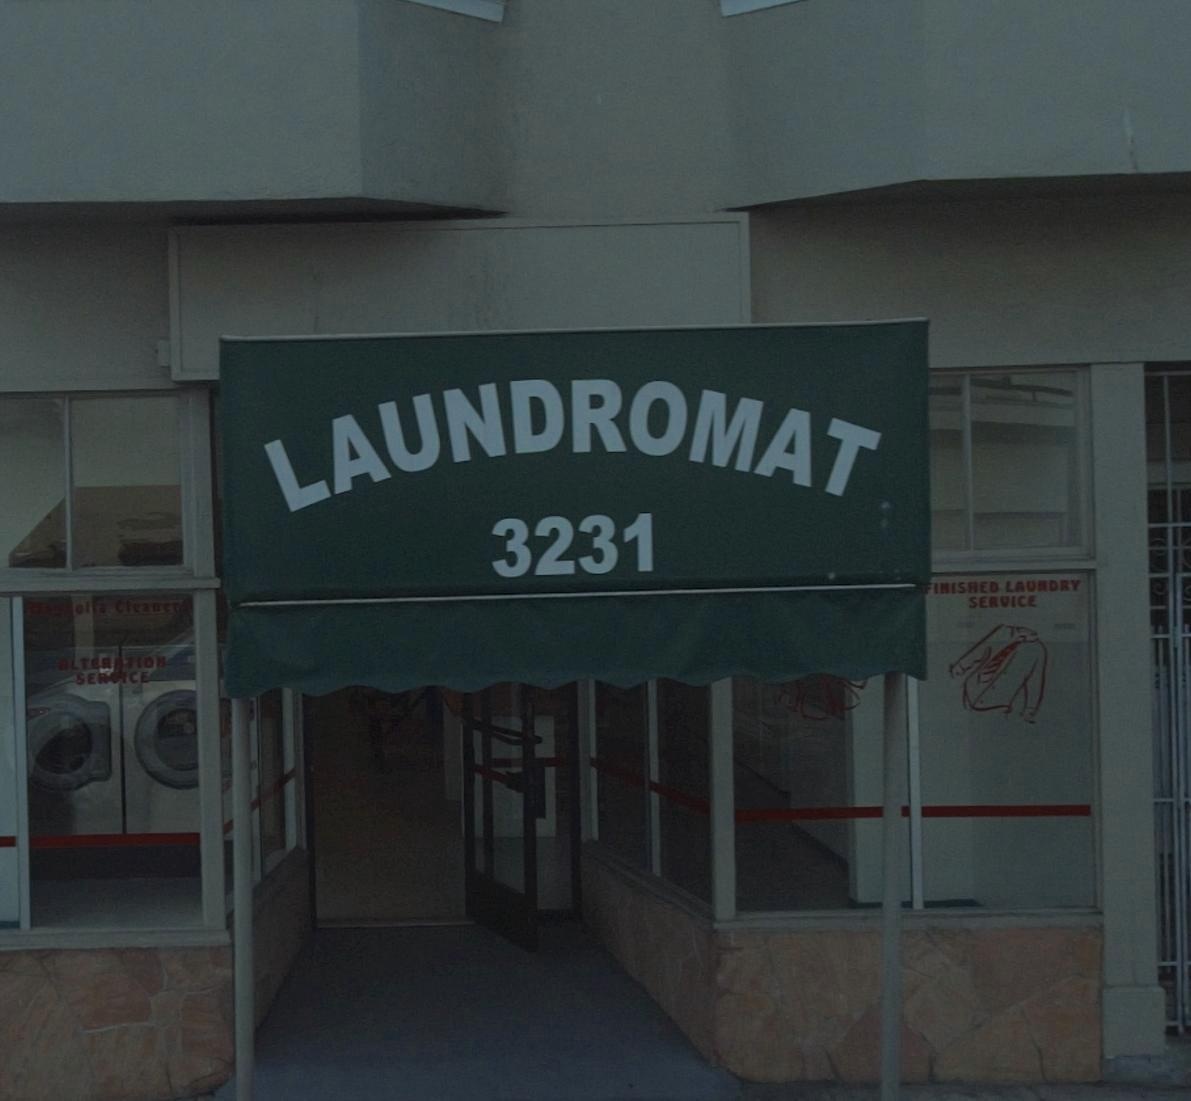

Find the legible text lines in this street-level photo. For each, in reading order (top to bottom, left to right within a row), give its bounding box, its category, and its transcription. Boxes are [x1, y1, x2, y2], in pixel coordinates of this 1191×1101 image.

[258, 371, 888, 517] None: LAUNDROMAT
[488, 507, 658, 581] StreetNumber: 3231
[931, 576, 1084, 597] None: INISHED LAUNDRY
[73, 597, 173, 618] None: OL** Cleane
[966, 593, 1040, 611] None: SERVICE
[56, 653, 169, 674] None: *LTERATION
[73, 669, 152, 689] None: SERVICE